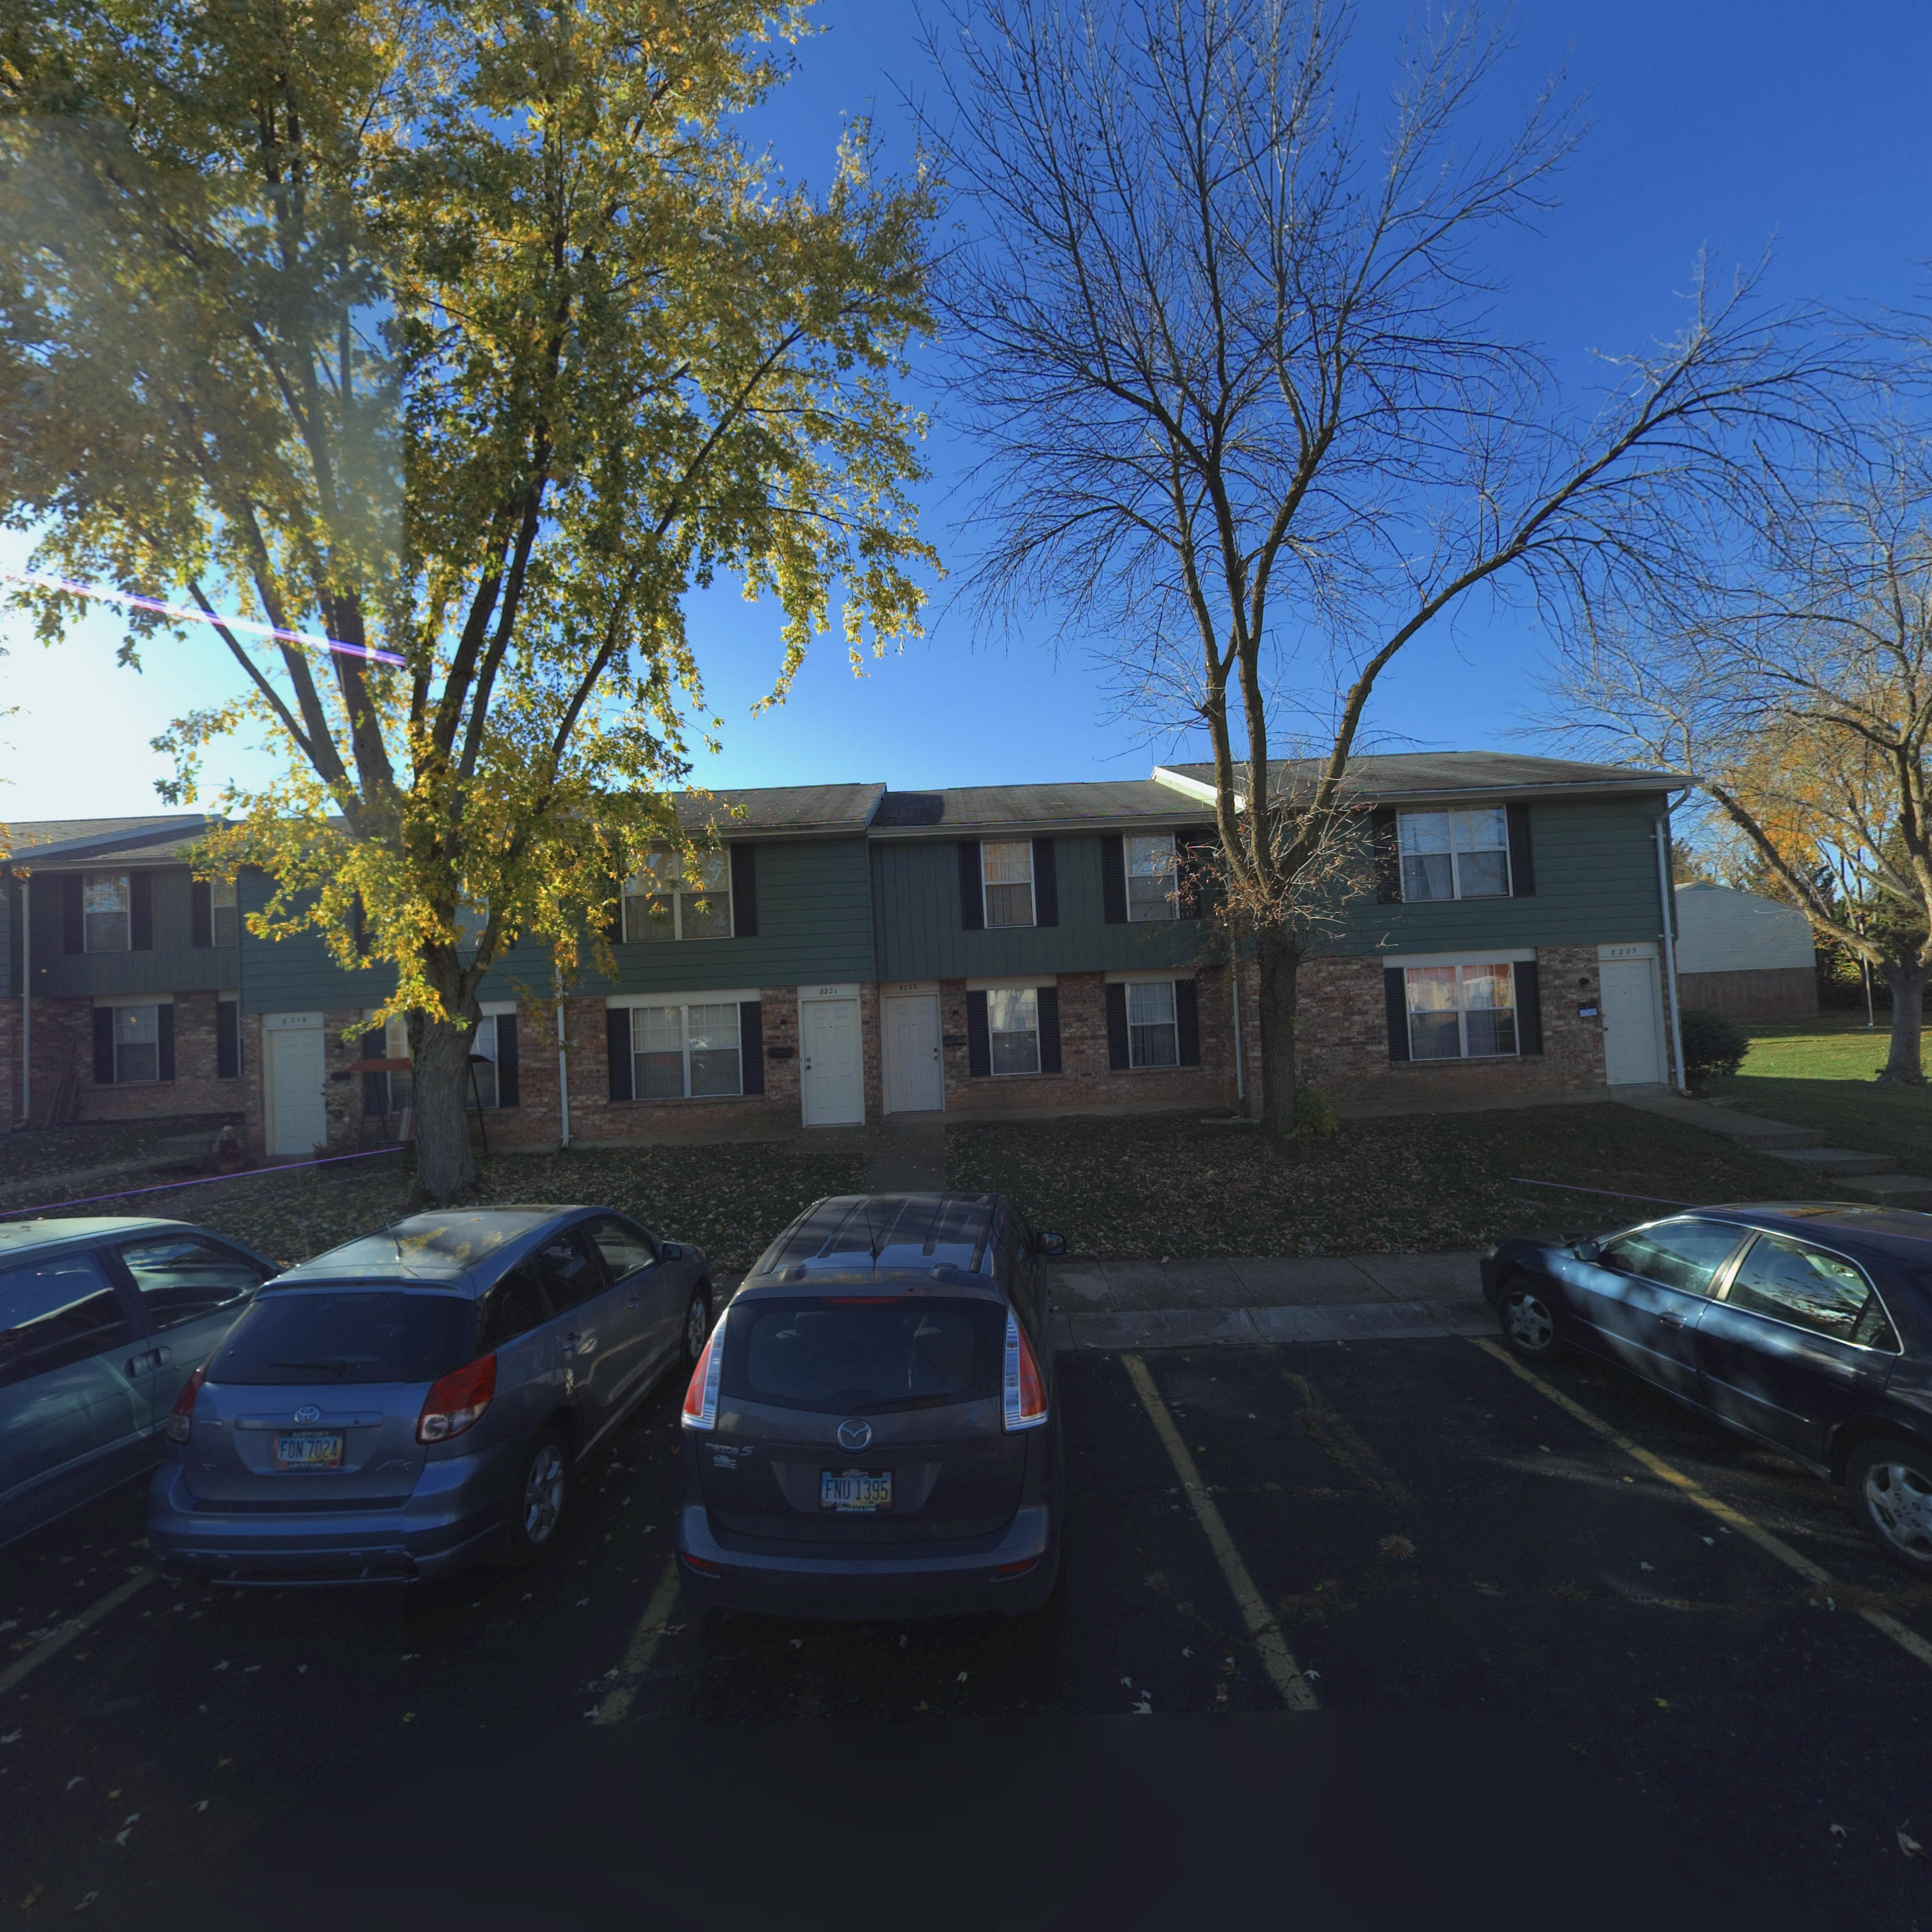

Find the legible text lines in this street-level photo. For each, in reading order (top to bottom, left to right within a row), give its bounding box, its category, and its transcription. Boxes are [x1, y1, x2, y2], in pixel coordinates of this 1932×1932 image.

[1611, 947, 1637, 956] StreetNumber: 8225
[819, 987, 837, 995] StreetNumber: 8221
[899, 984, 918, 991] StreetNumber: 8223
[281, 1016, 307, 1025] StreetNumber: 8219